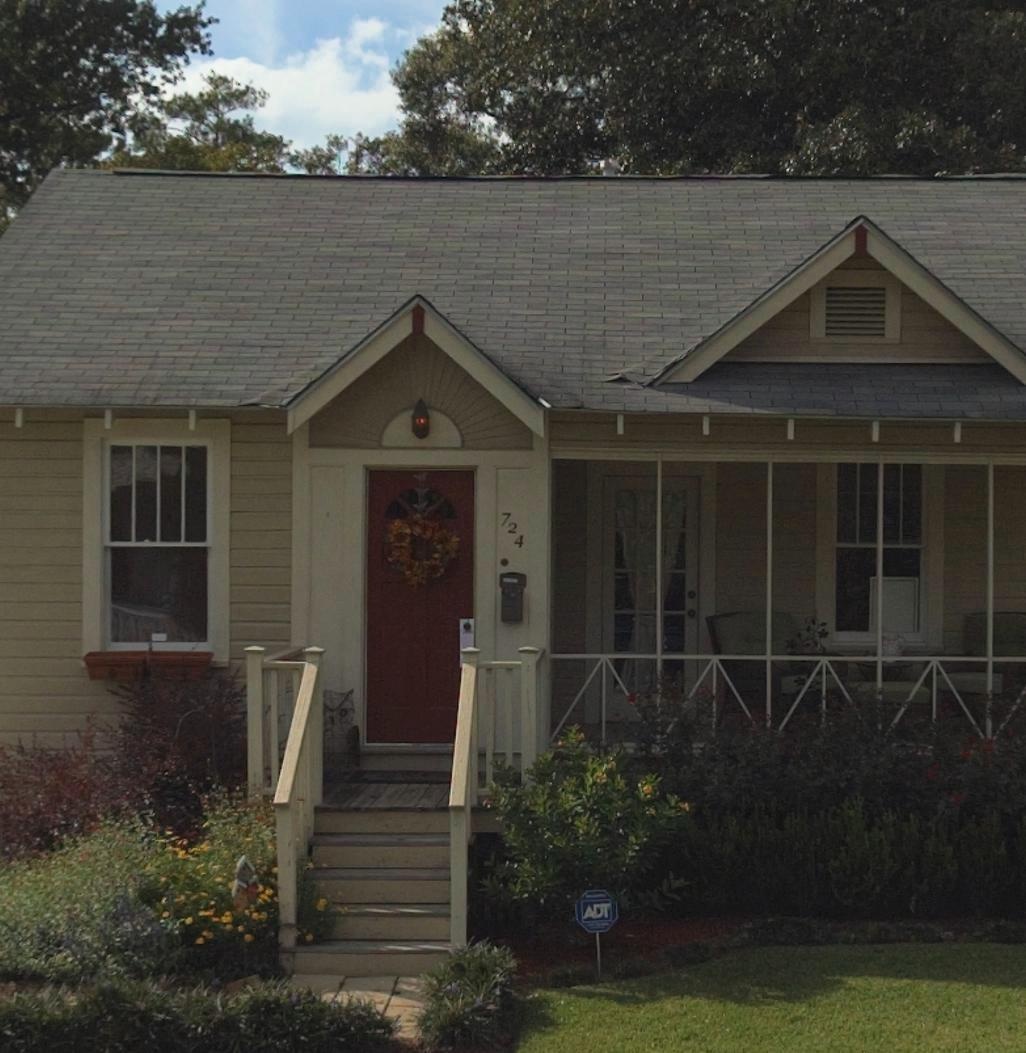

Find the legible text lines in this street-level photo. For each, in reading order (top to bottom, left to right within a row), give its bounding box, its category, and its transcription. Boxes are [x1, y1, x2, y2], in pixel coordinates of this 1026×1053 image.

[500, 510, 526, 550] StreetNumber: 724
[580, 899, 613, 922] None: ADT